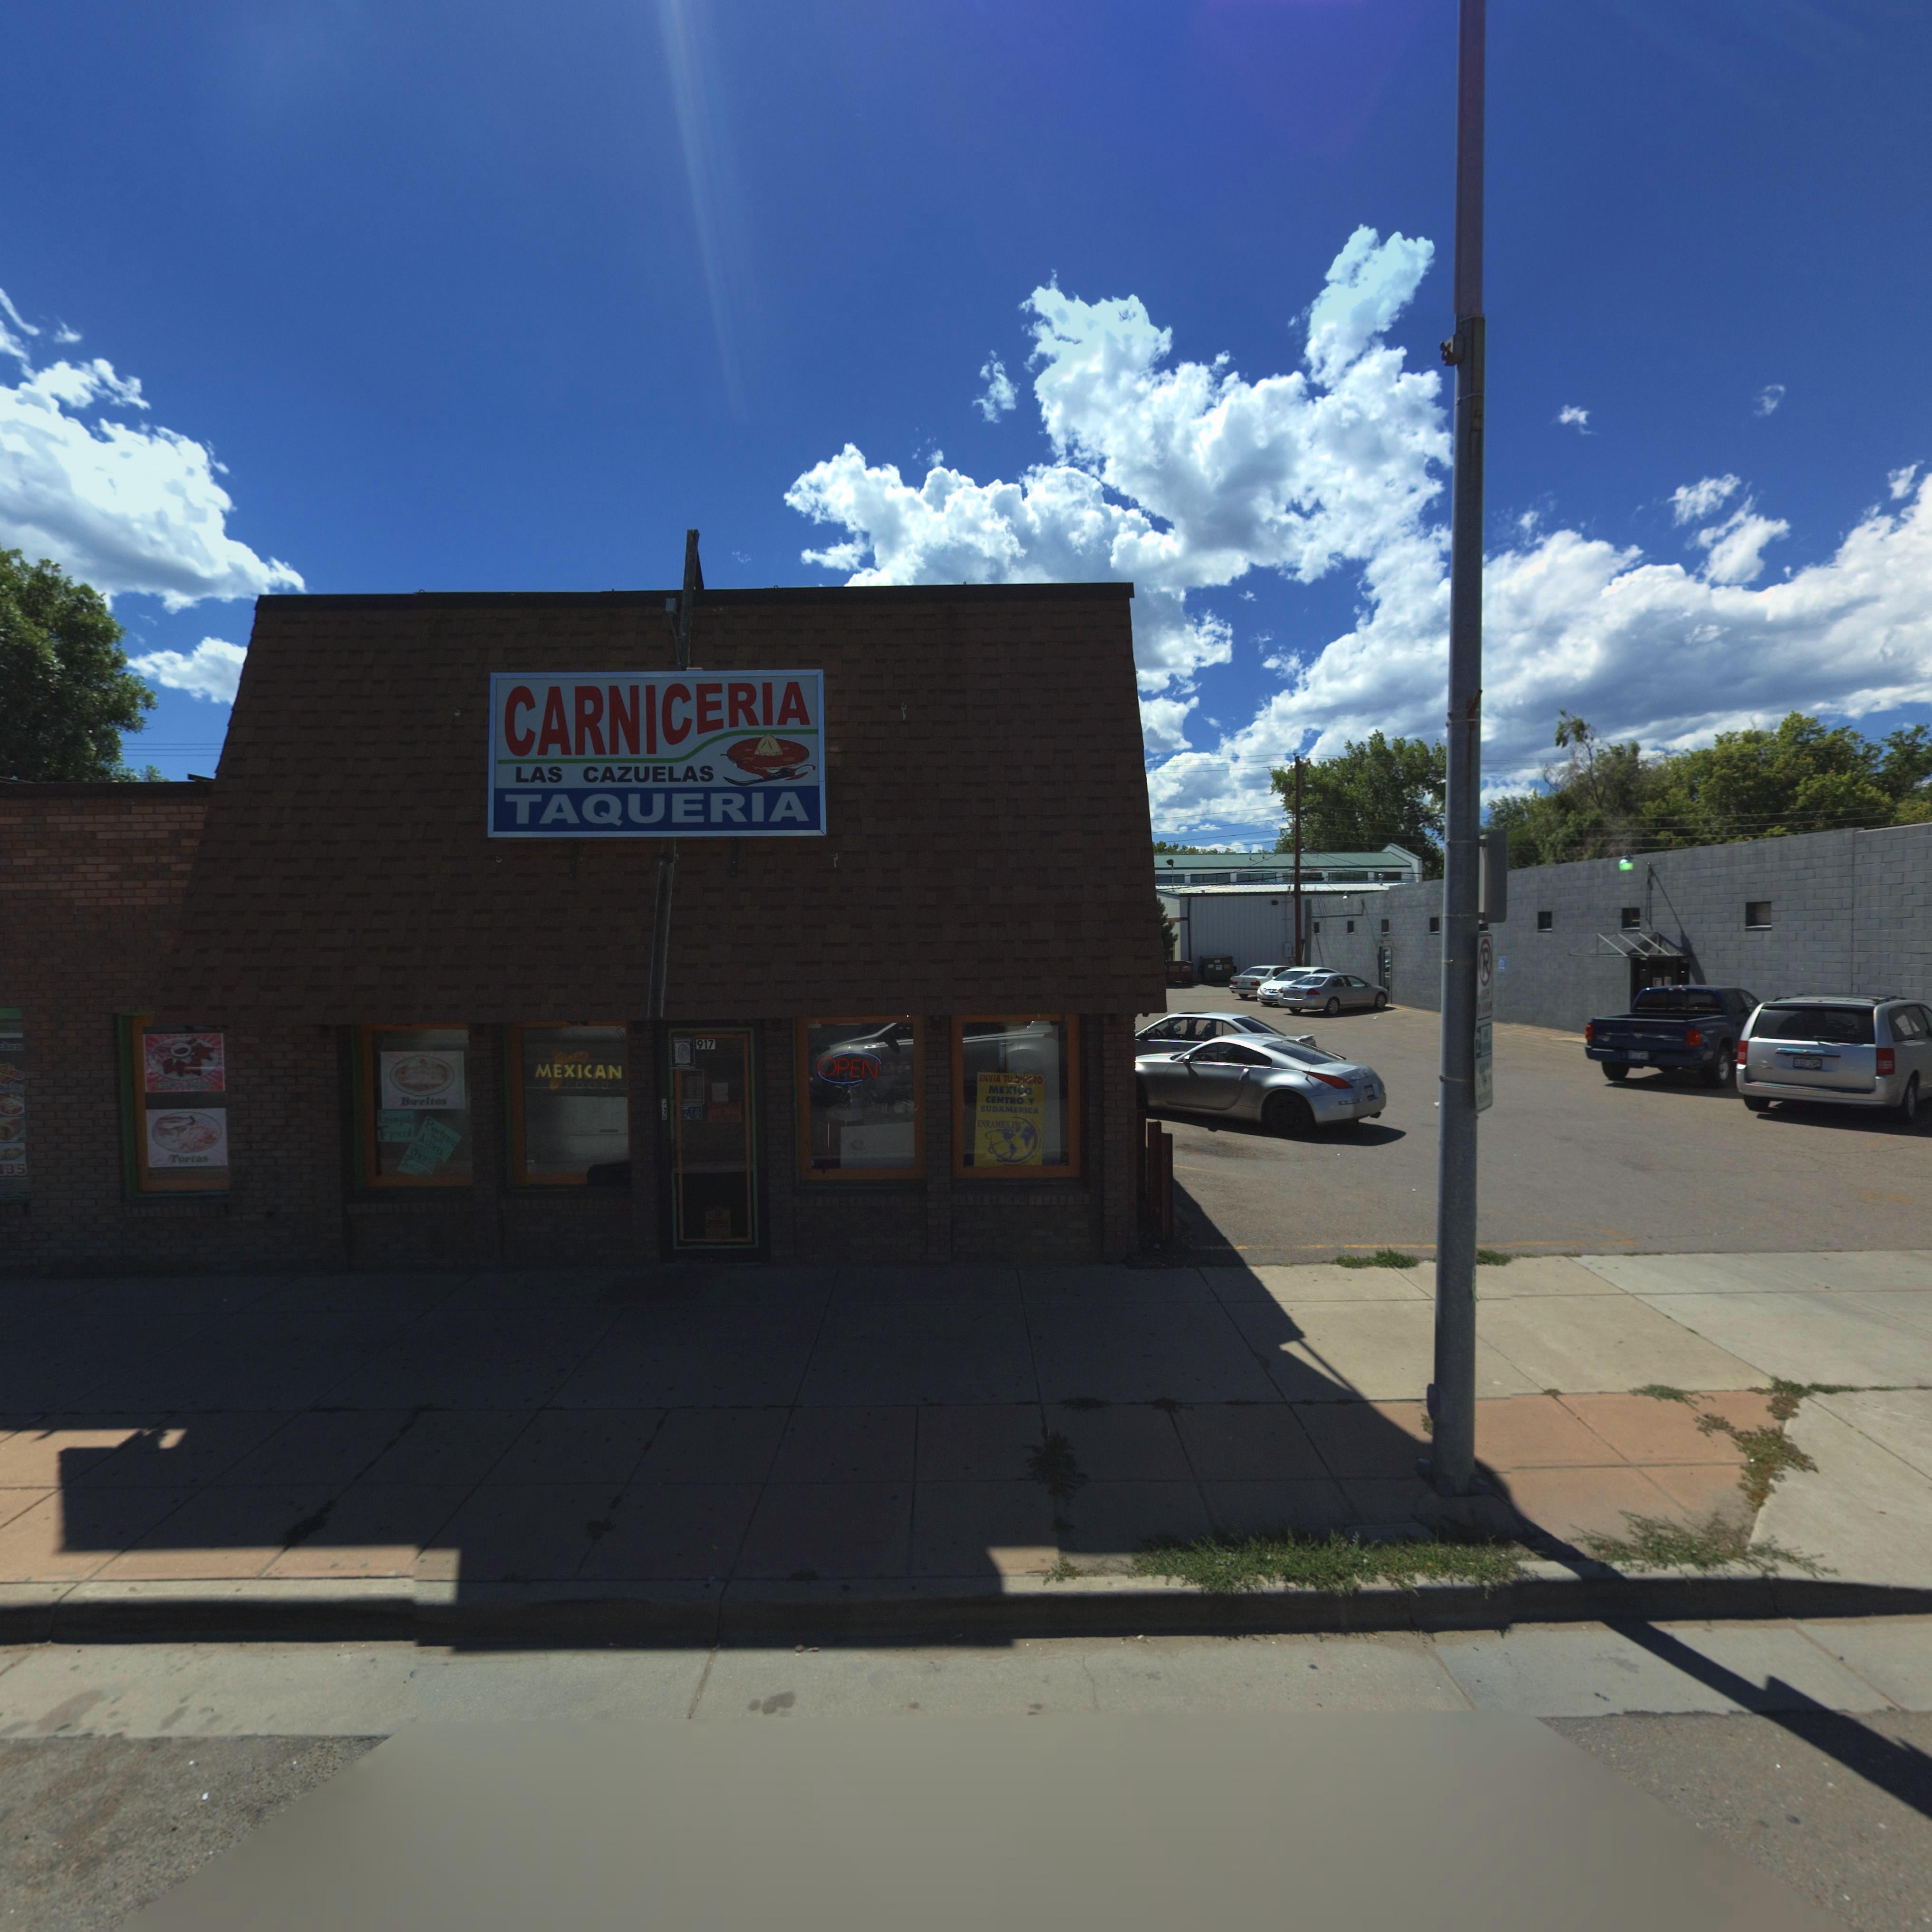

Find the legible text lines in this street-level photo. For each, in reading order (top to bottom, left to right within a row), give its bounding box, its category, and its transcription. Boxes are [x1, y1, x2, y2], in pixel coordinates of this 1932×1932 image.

[515, 765, 714, 782] BusinessName: LAS  CAZUELAS
[696, 1039, 714, 1049] StreetNumber: 917